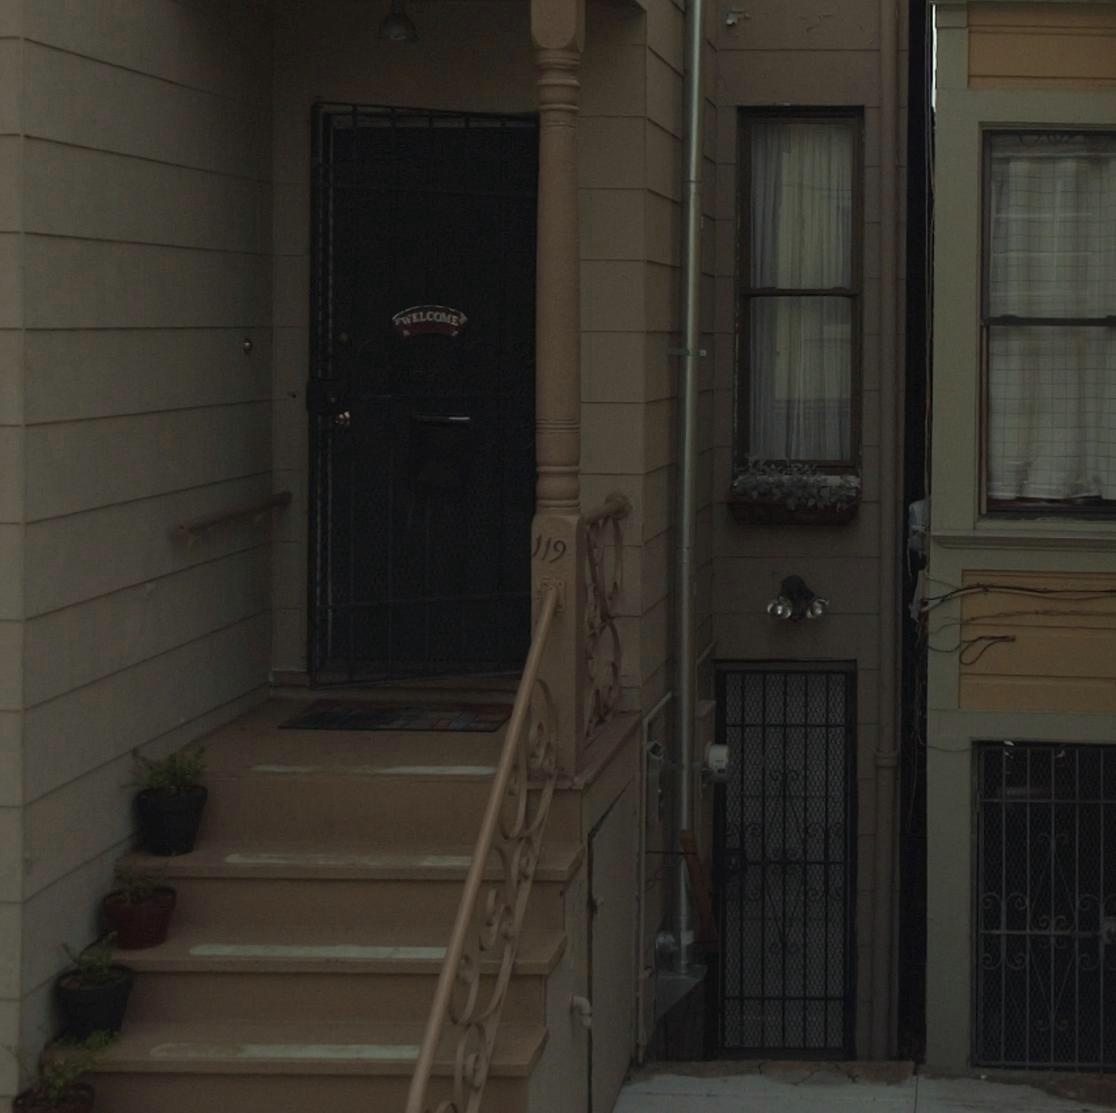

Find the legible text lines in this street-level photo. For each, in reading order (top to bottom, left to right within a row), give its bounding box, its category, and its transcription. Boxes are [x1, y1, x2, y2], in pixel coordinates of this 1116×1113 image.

[399, 309, 459, 327] None: WELCOME
[528, 531, 569, 567] StreetNumber: 119